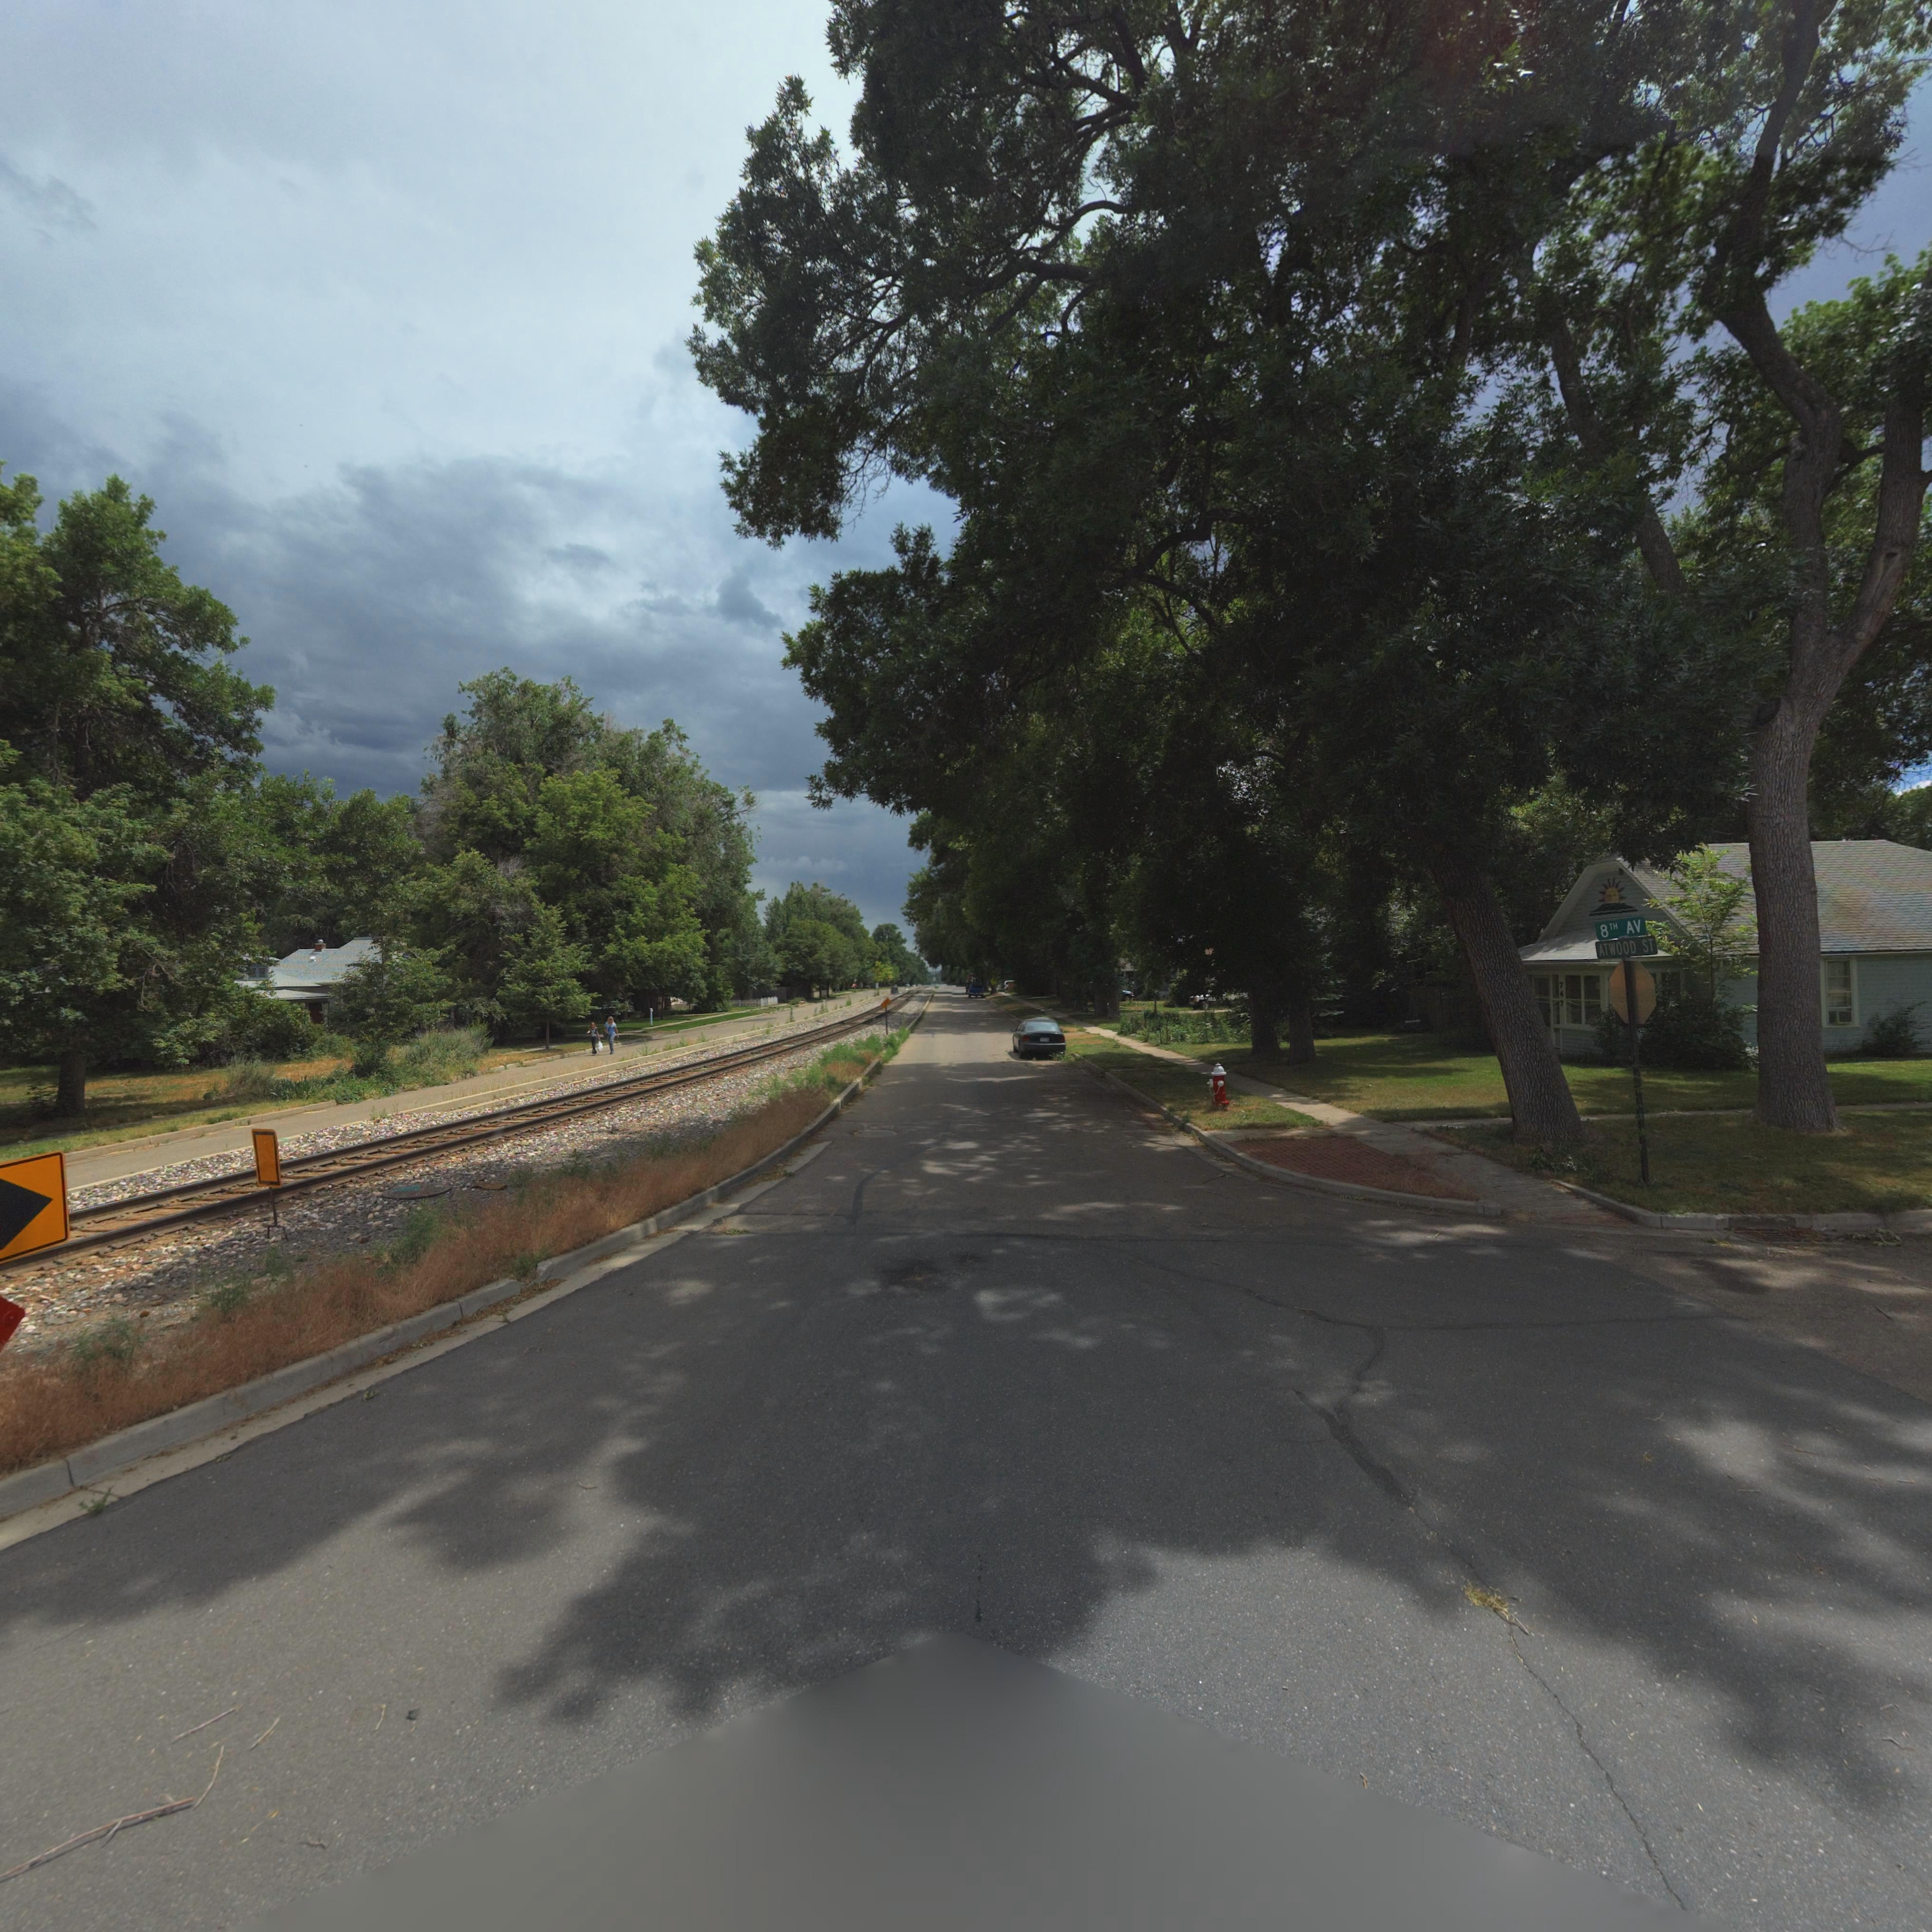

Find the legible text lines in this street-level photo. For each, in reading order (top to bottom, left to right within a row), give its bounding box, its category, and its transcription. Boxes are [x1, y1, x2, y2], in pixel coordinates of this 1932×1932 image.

[1598, 917, 1641, 939] StreetName: 8TH AV
[1598, 937, 1655, 957] StreetName: ATWOOD ST
[1559, 981, 1564, 1007] StreetNumber: 747